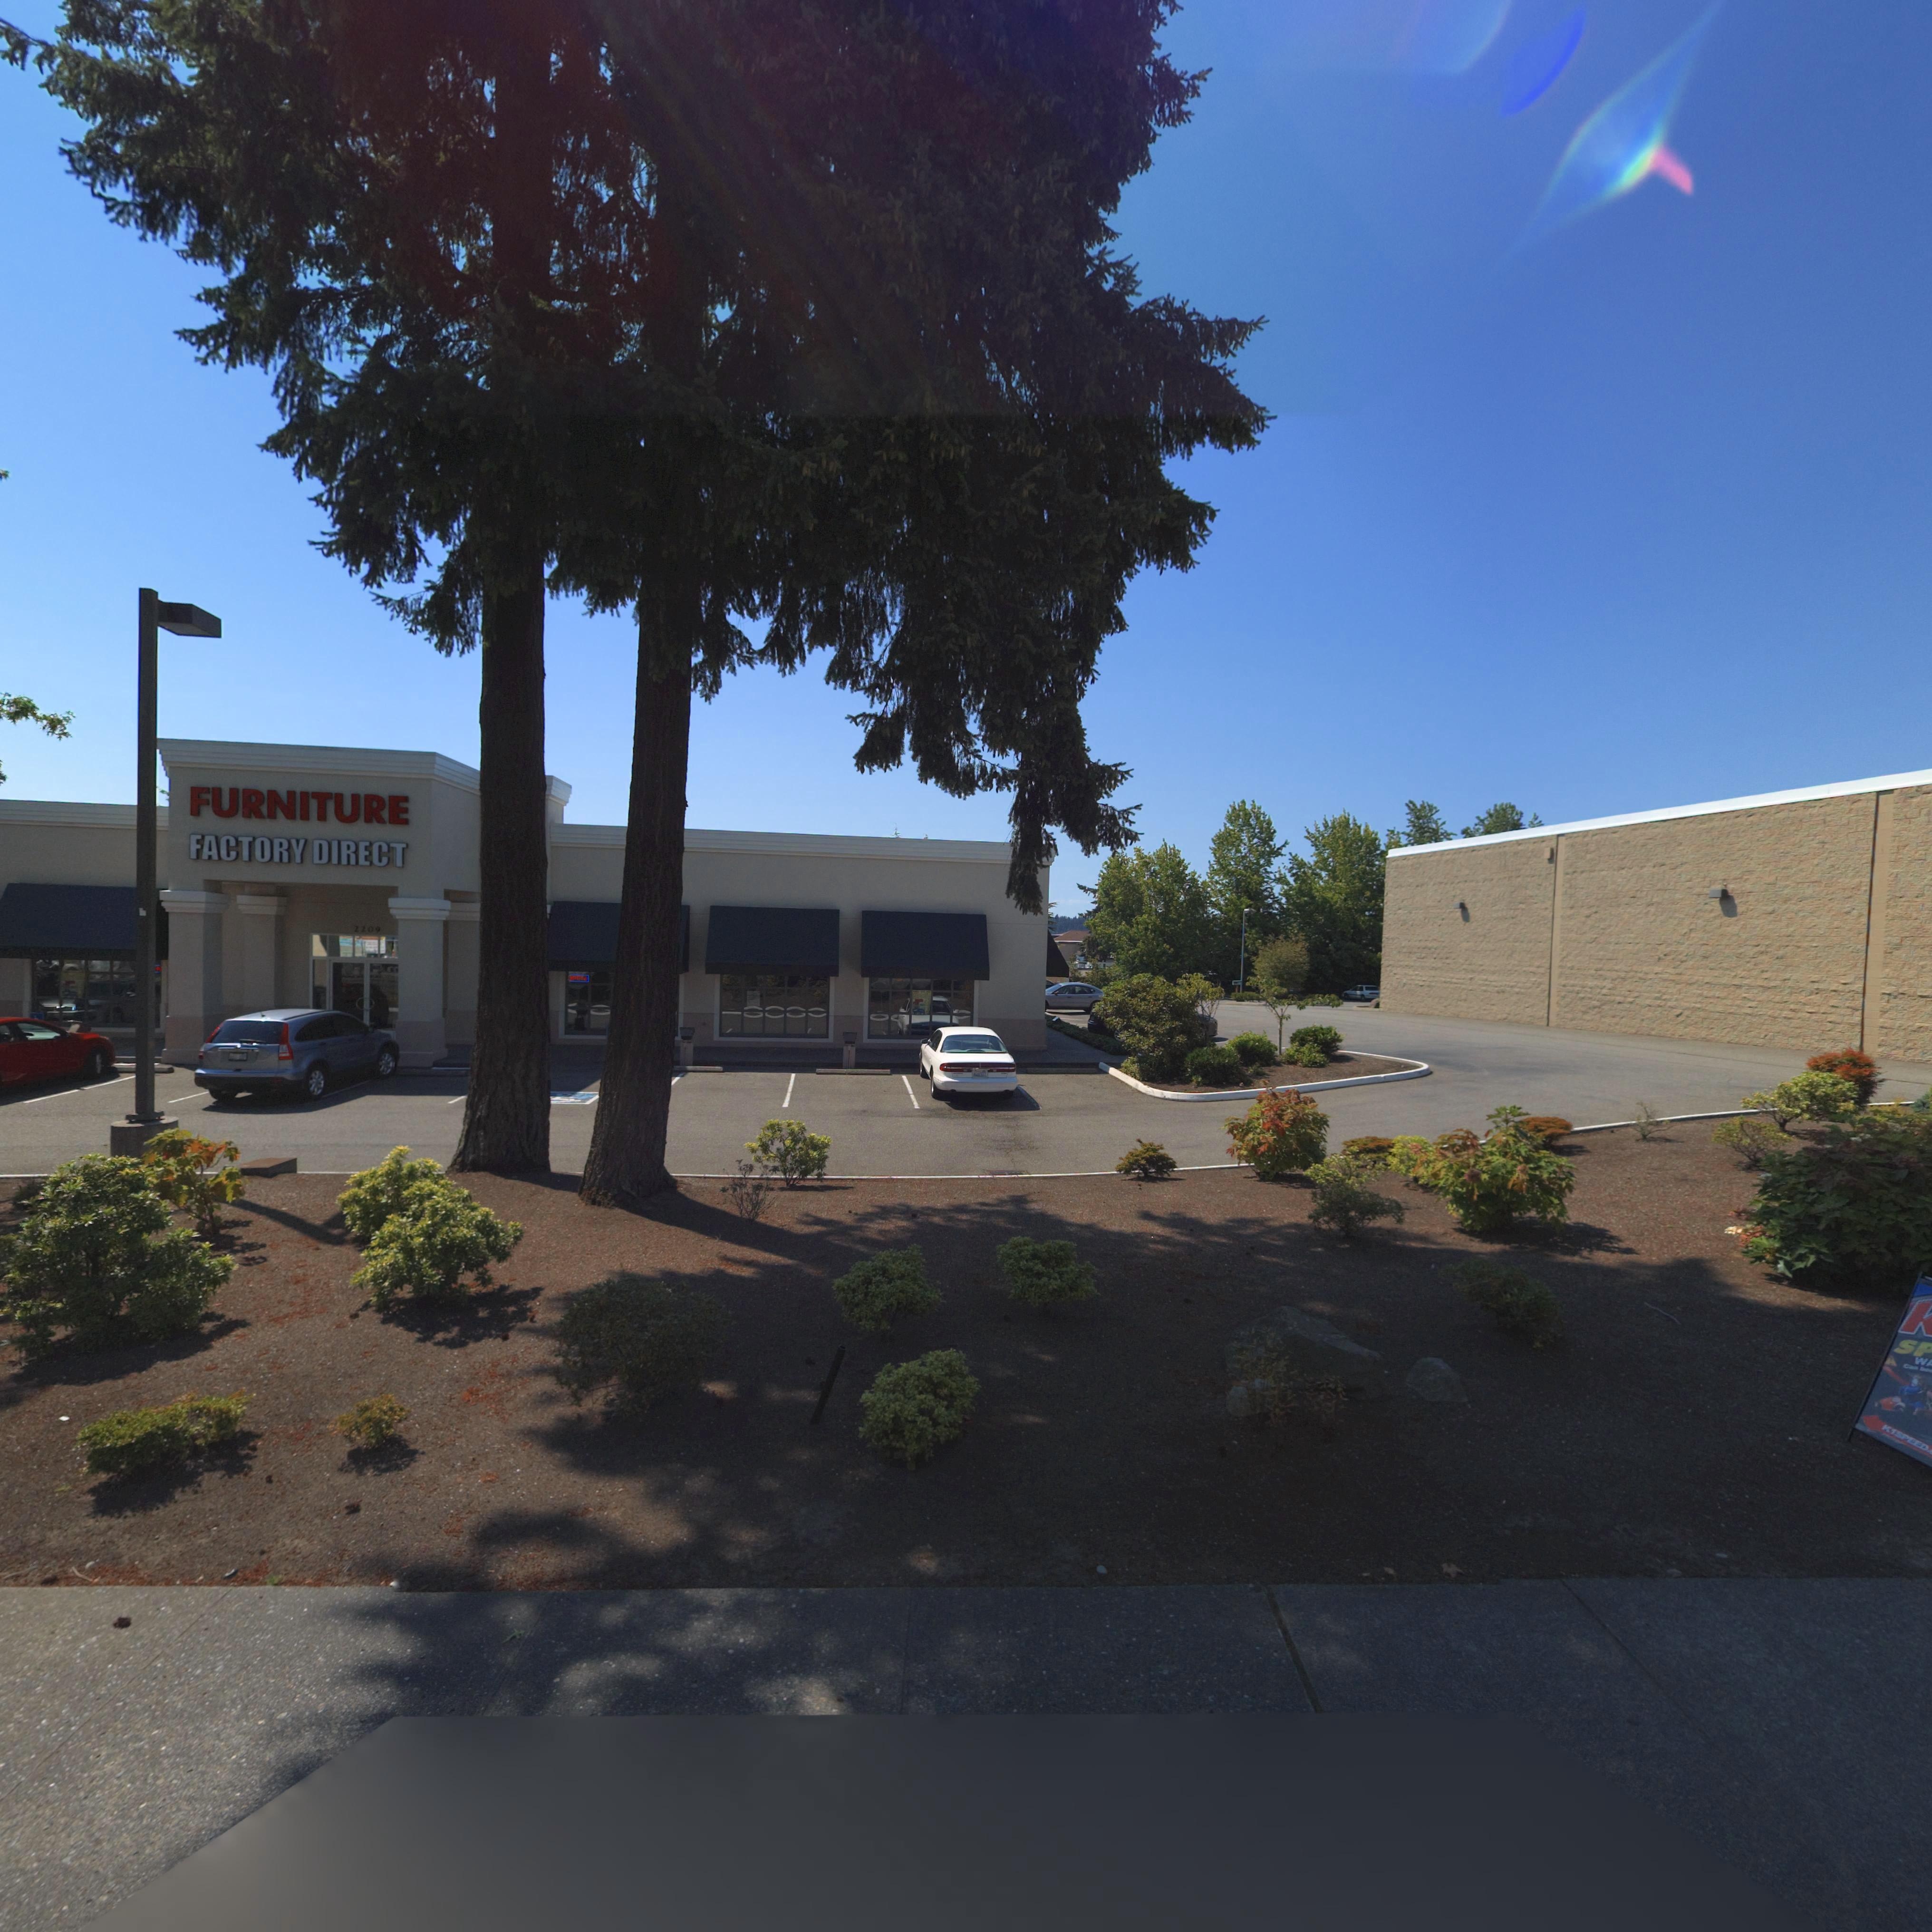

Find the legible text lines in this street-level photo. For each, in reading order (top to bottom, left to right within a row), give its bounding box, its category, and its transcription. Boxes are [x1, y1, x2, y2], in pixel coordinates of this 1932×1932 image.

[189, 785, 410, 826] BusinessName: FURNITURE
[190, 835, 406, 867] BusinessName: FACTORY DIRECT
[354, 925, 381, 934] StreetNumber: 2209